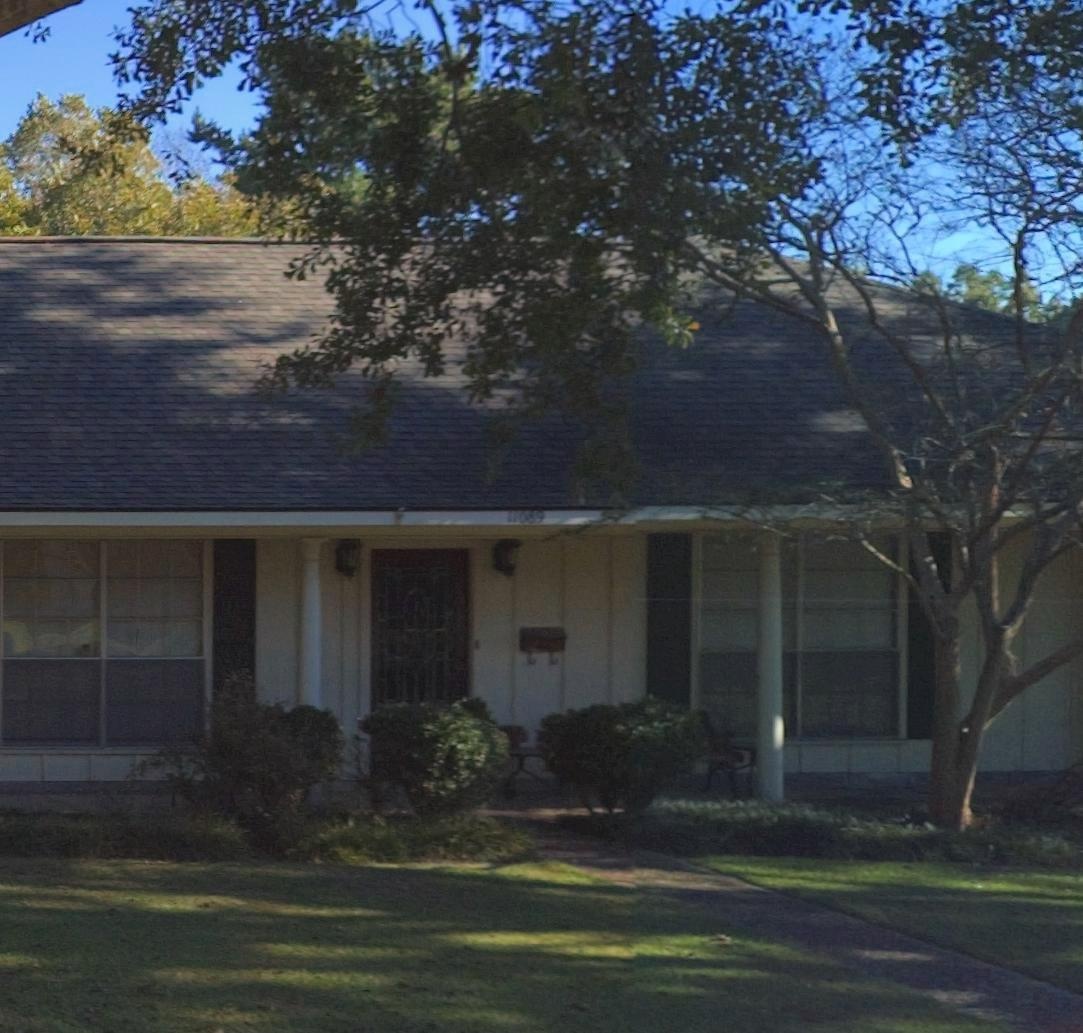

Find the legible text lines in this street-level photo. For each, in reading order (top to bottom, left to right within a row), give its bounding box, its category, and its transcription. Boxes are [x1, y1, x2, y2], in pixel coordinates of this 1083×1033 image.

[505, 507, 548, 526] StreetNumber: 11089